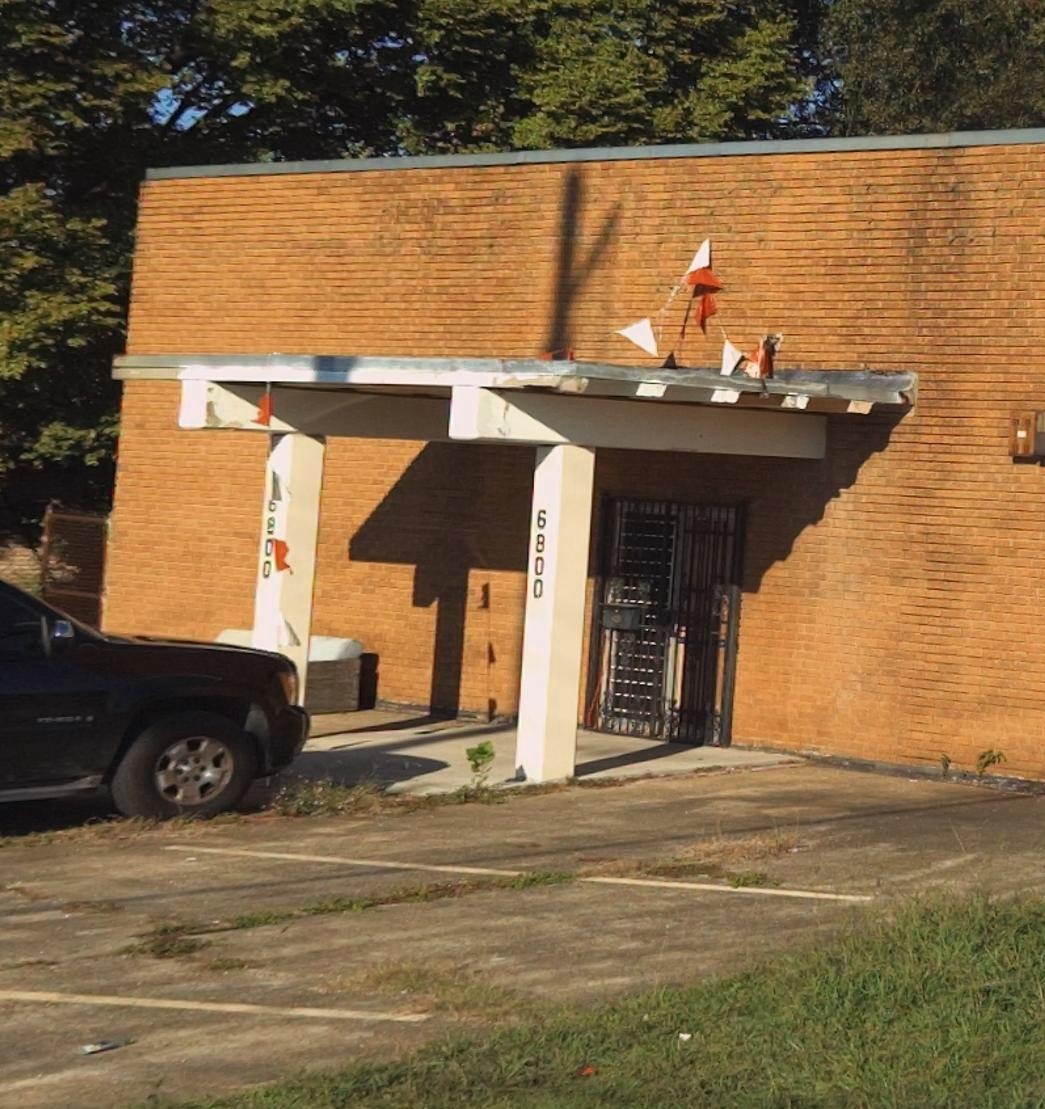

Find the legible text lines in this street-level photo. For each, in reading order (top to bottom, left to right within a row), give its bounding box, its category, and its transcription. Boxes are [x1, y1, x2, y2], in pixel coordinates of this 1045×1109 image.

[260, 496, 278, 581] StreetNumber: 6800
[531, 508, 548, 600] StreetNumber: 6800